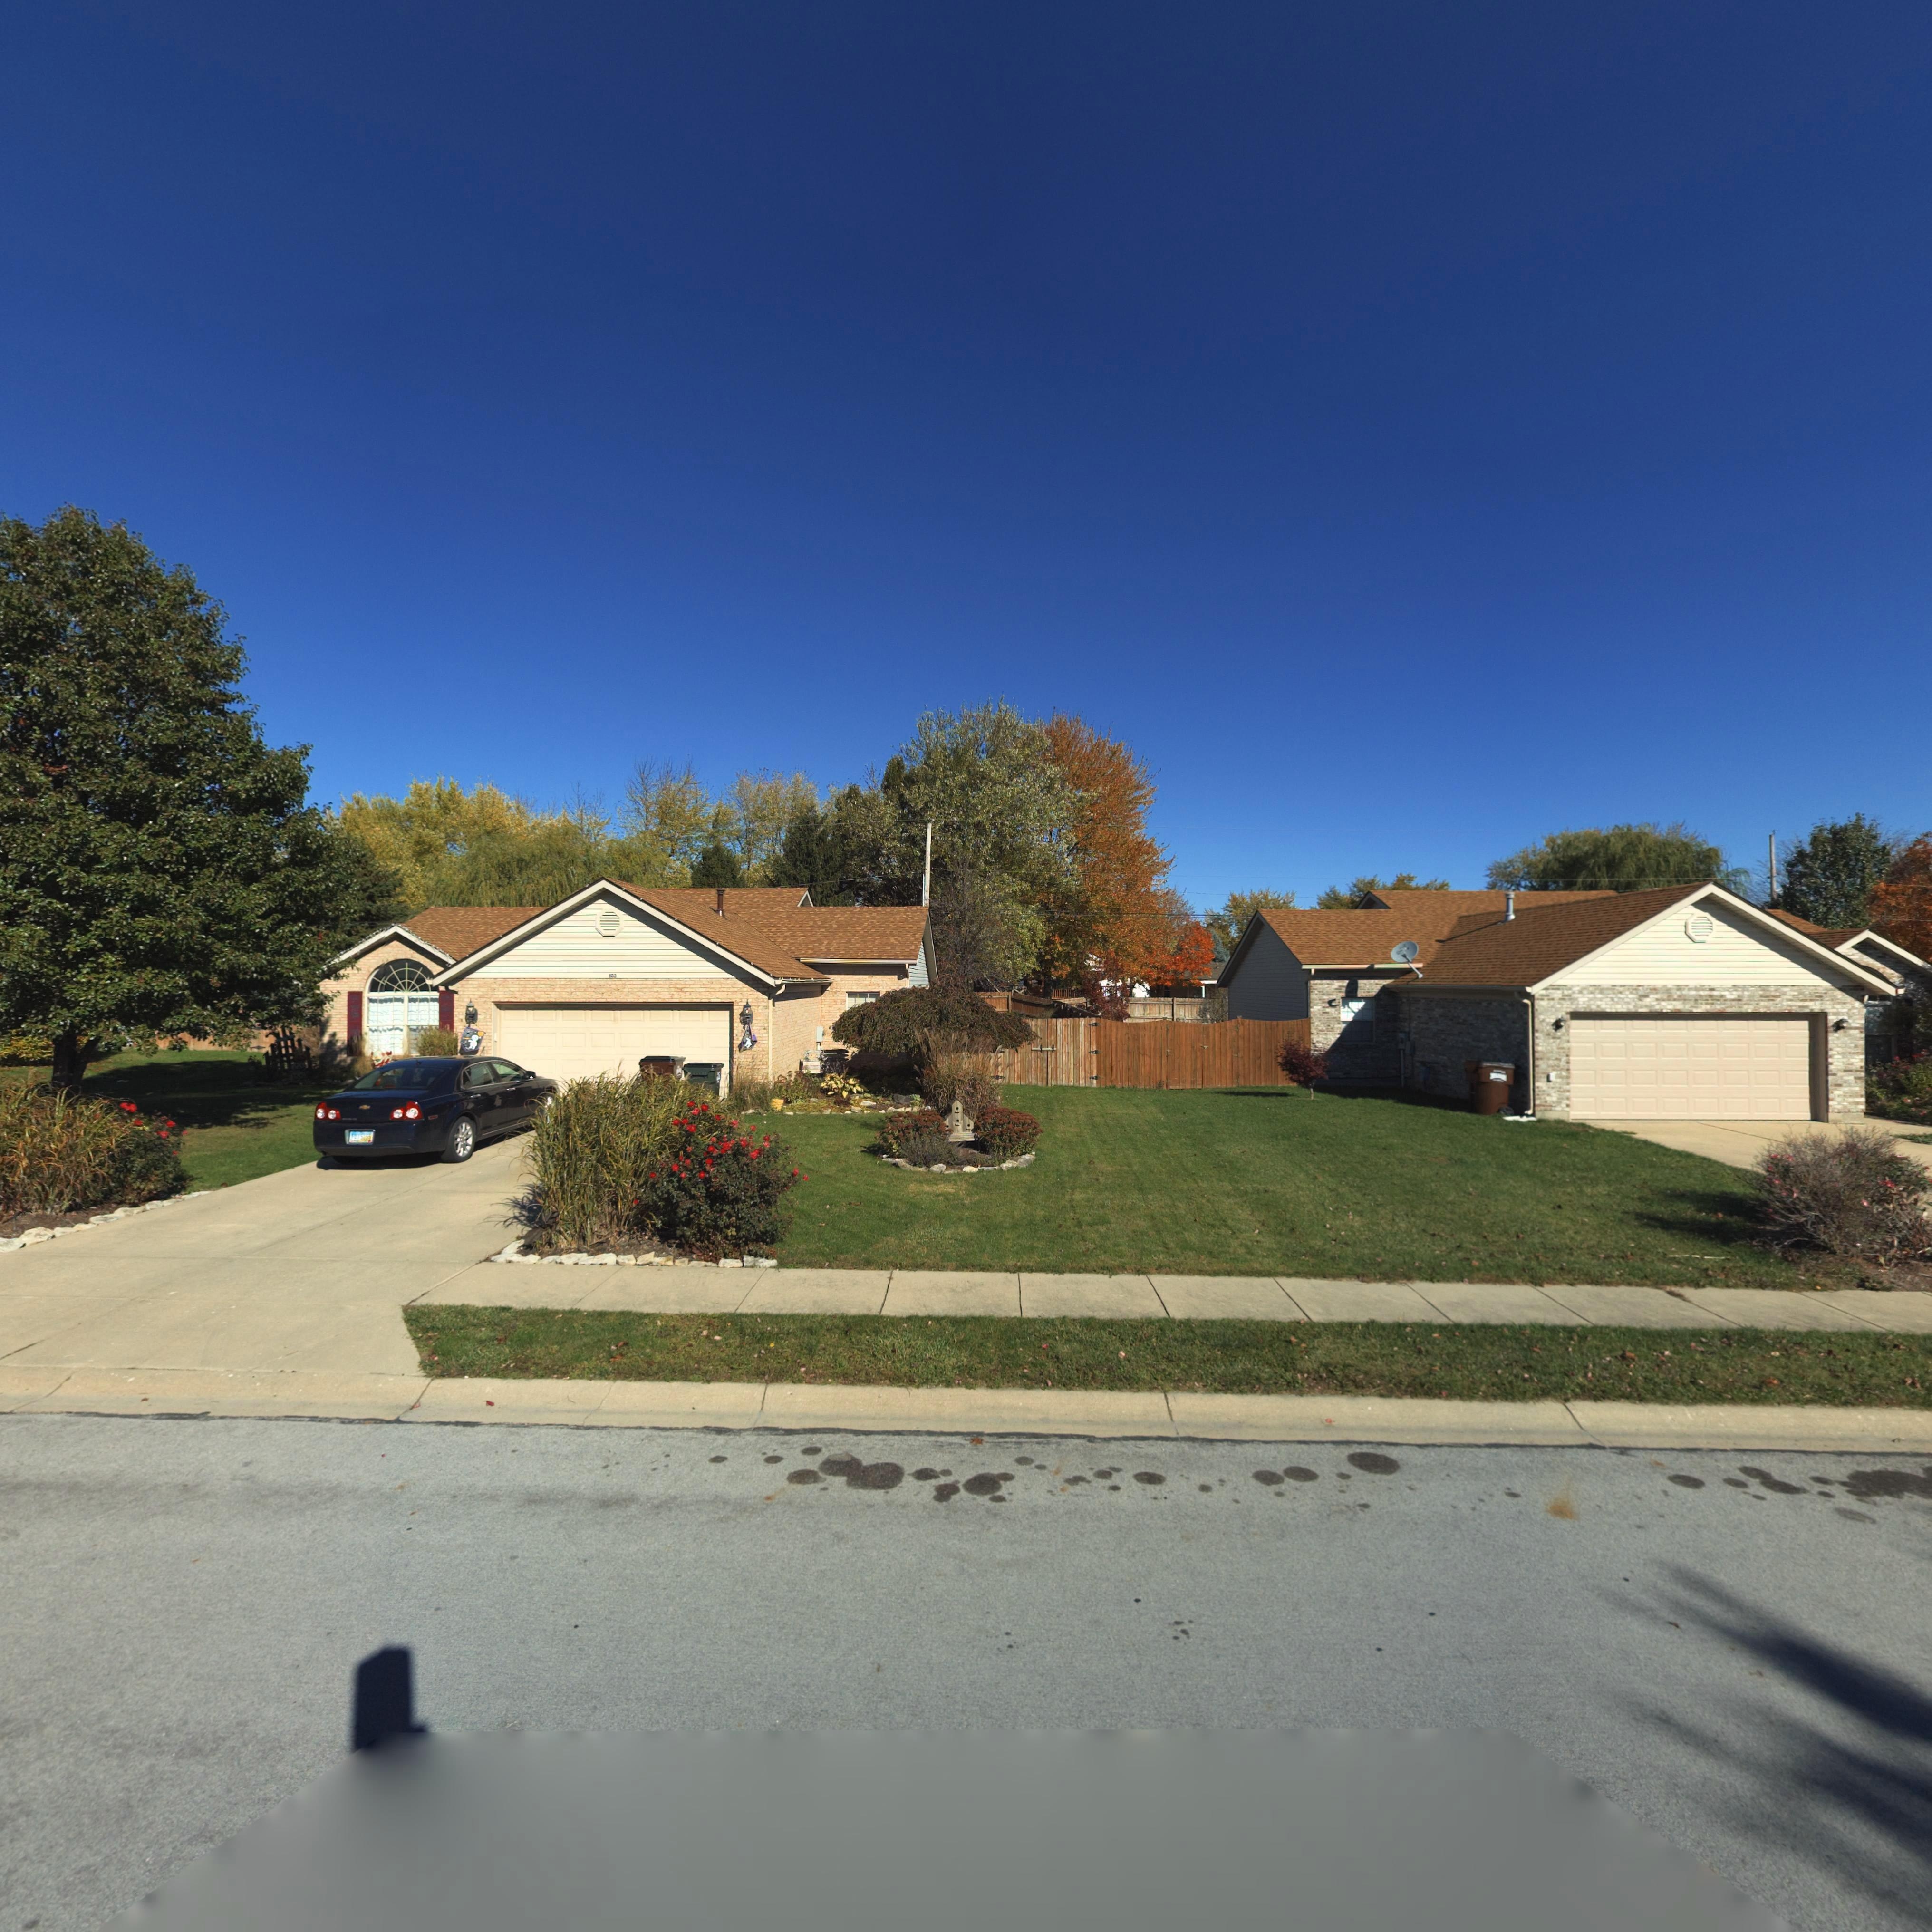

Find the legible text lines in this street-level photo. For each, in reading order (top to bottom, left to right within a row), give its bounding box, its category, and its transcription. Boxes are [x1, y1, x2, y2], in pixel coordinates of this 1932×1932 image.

[609, 974, 617, 978] StreetNumber: 103